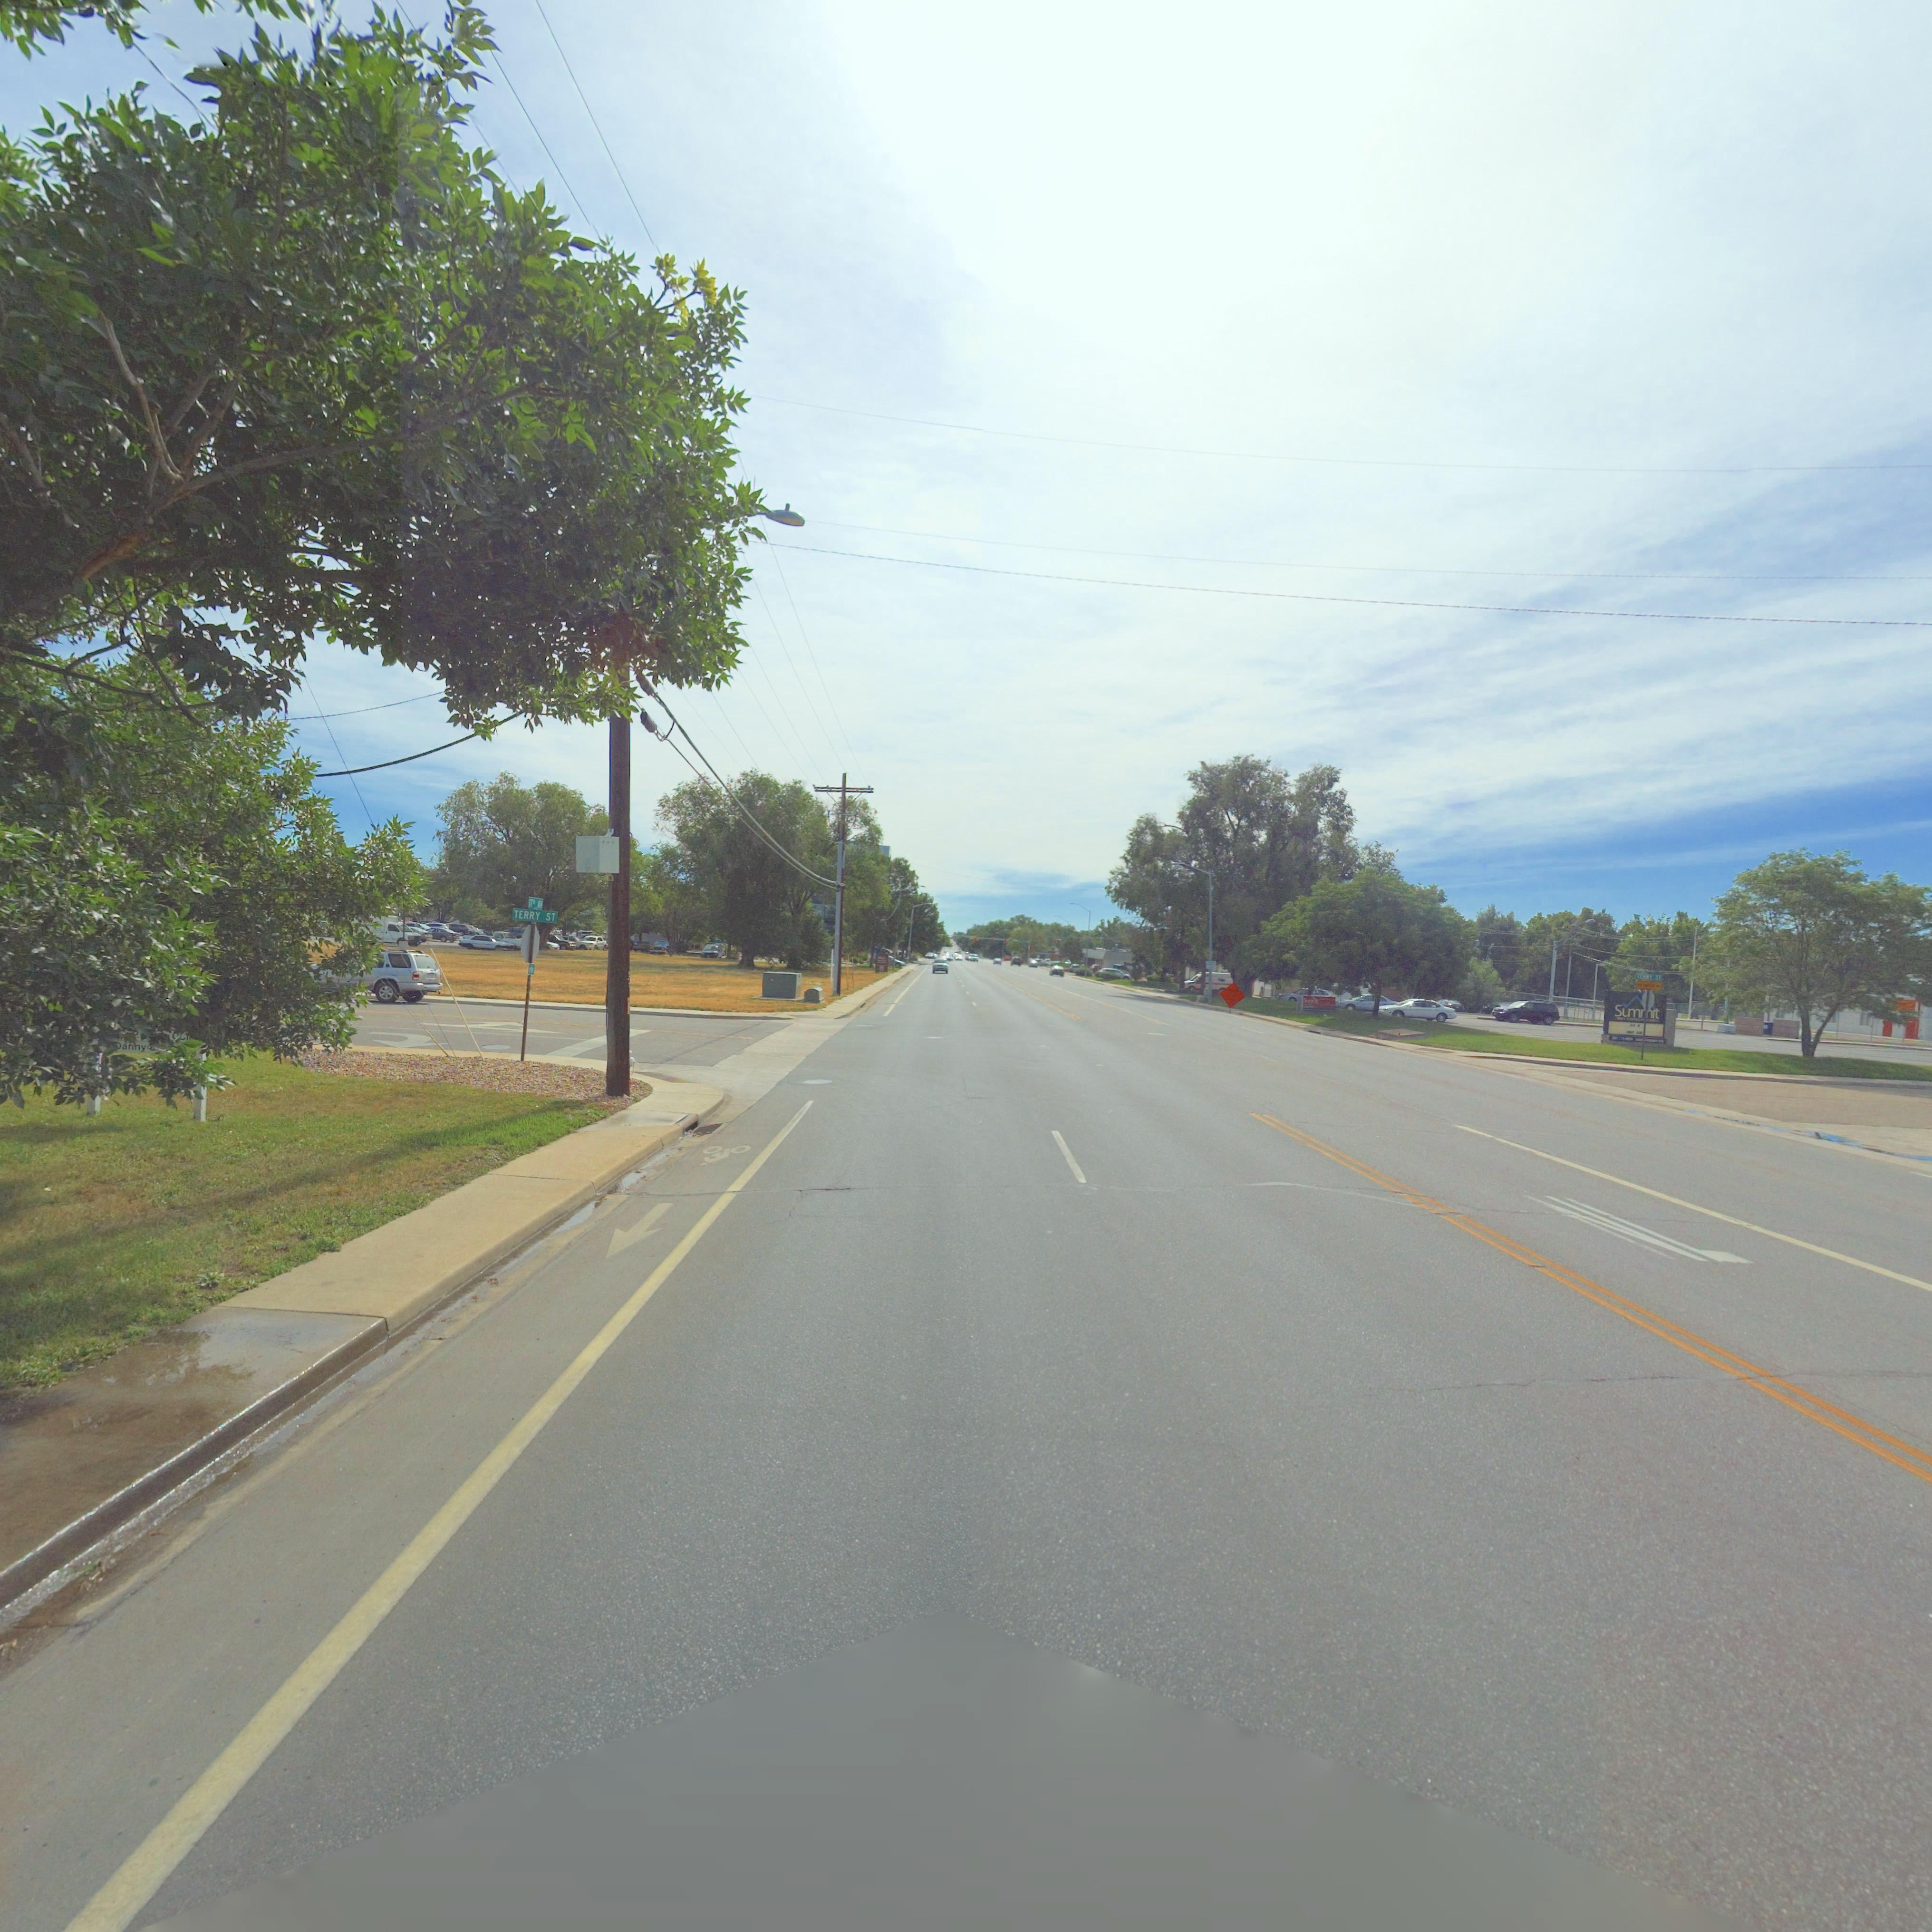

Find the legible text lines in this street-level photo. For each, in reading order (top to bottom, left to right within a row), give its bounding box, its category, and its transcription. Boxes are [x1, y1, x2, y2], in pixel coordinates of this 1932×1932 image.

[528, 898, 543, 909] StreetName: 17TH AV
[514, 909, 556, 921] StreetName: TERRY ST
[1636, 973, 1662, 980] StreetName: TERRY ST
[1303, 997, 1319, 1003] BusinessName: Su***t
[1613, 1004, 1661, 1019] BusinessName: Sum*it